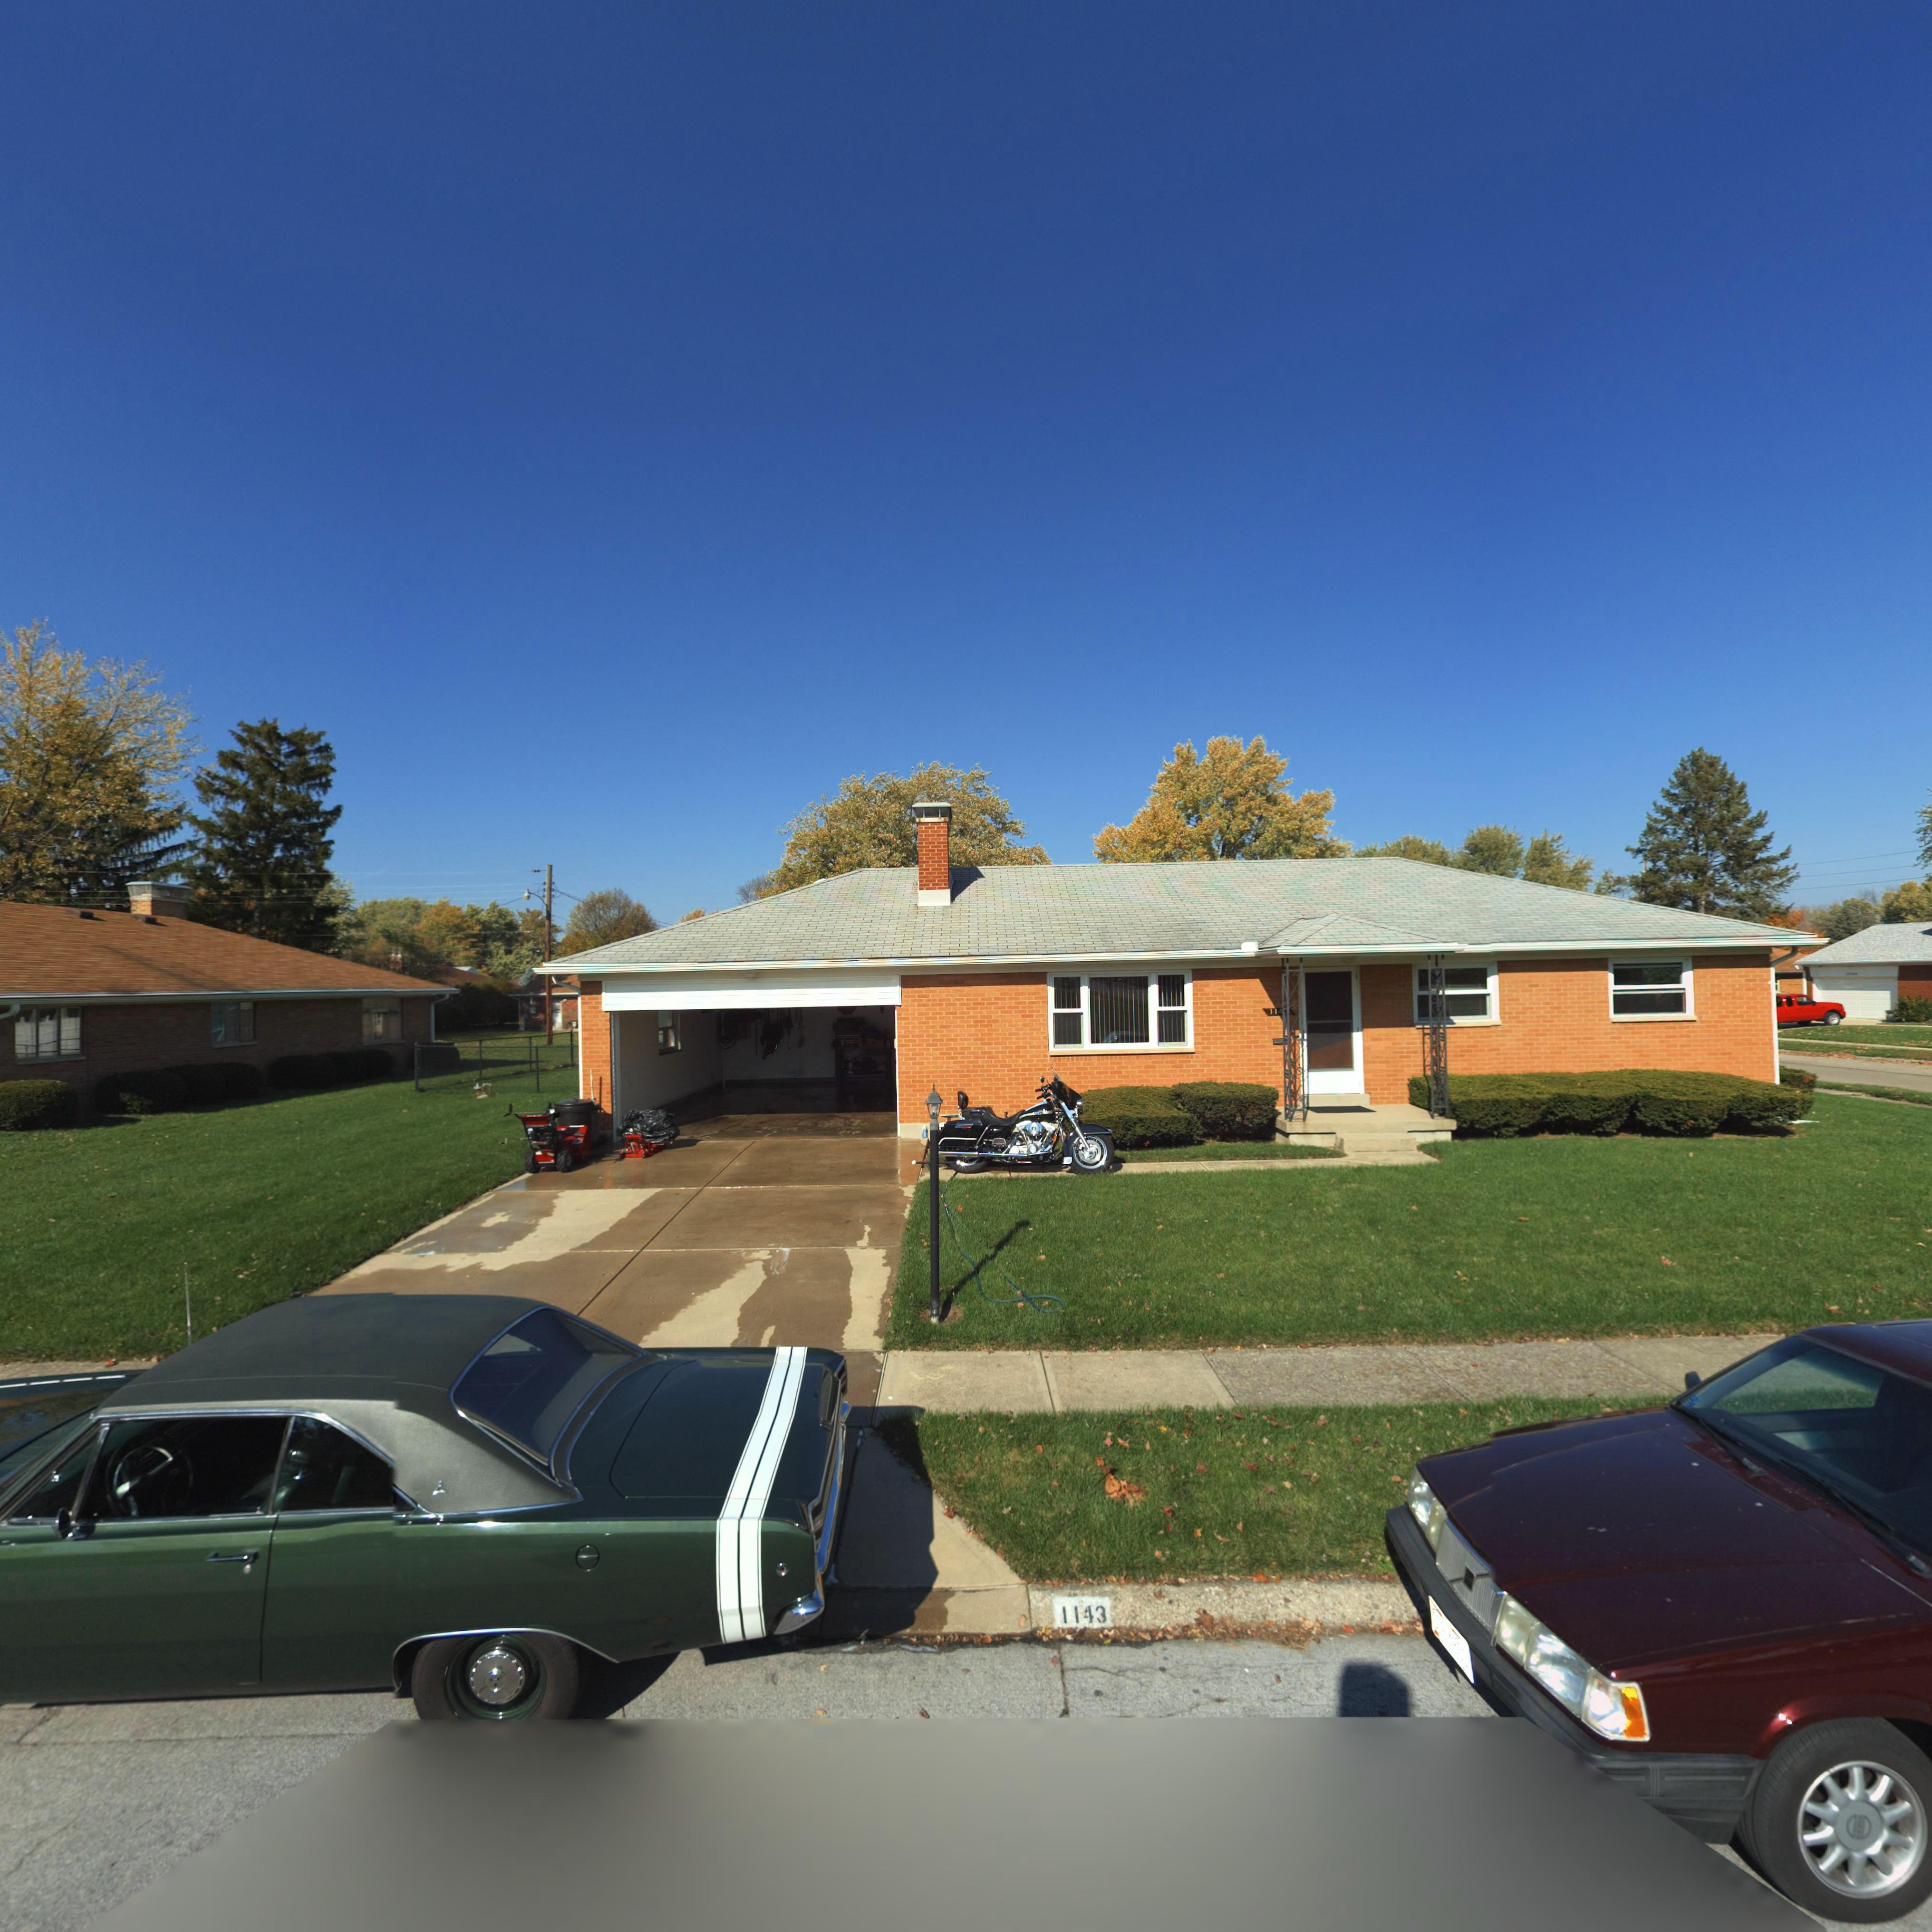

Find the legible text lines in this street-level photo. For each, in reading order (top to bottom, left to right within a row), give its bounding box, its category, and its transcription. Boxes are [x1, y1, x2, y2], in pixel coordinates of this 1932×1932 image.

[1269, 1007, 1283, 1016] StreetNumber: 114
[1059, 1603, 1109, 1625] StreetNumber: 1143